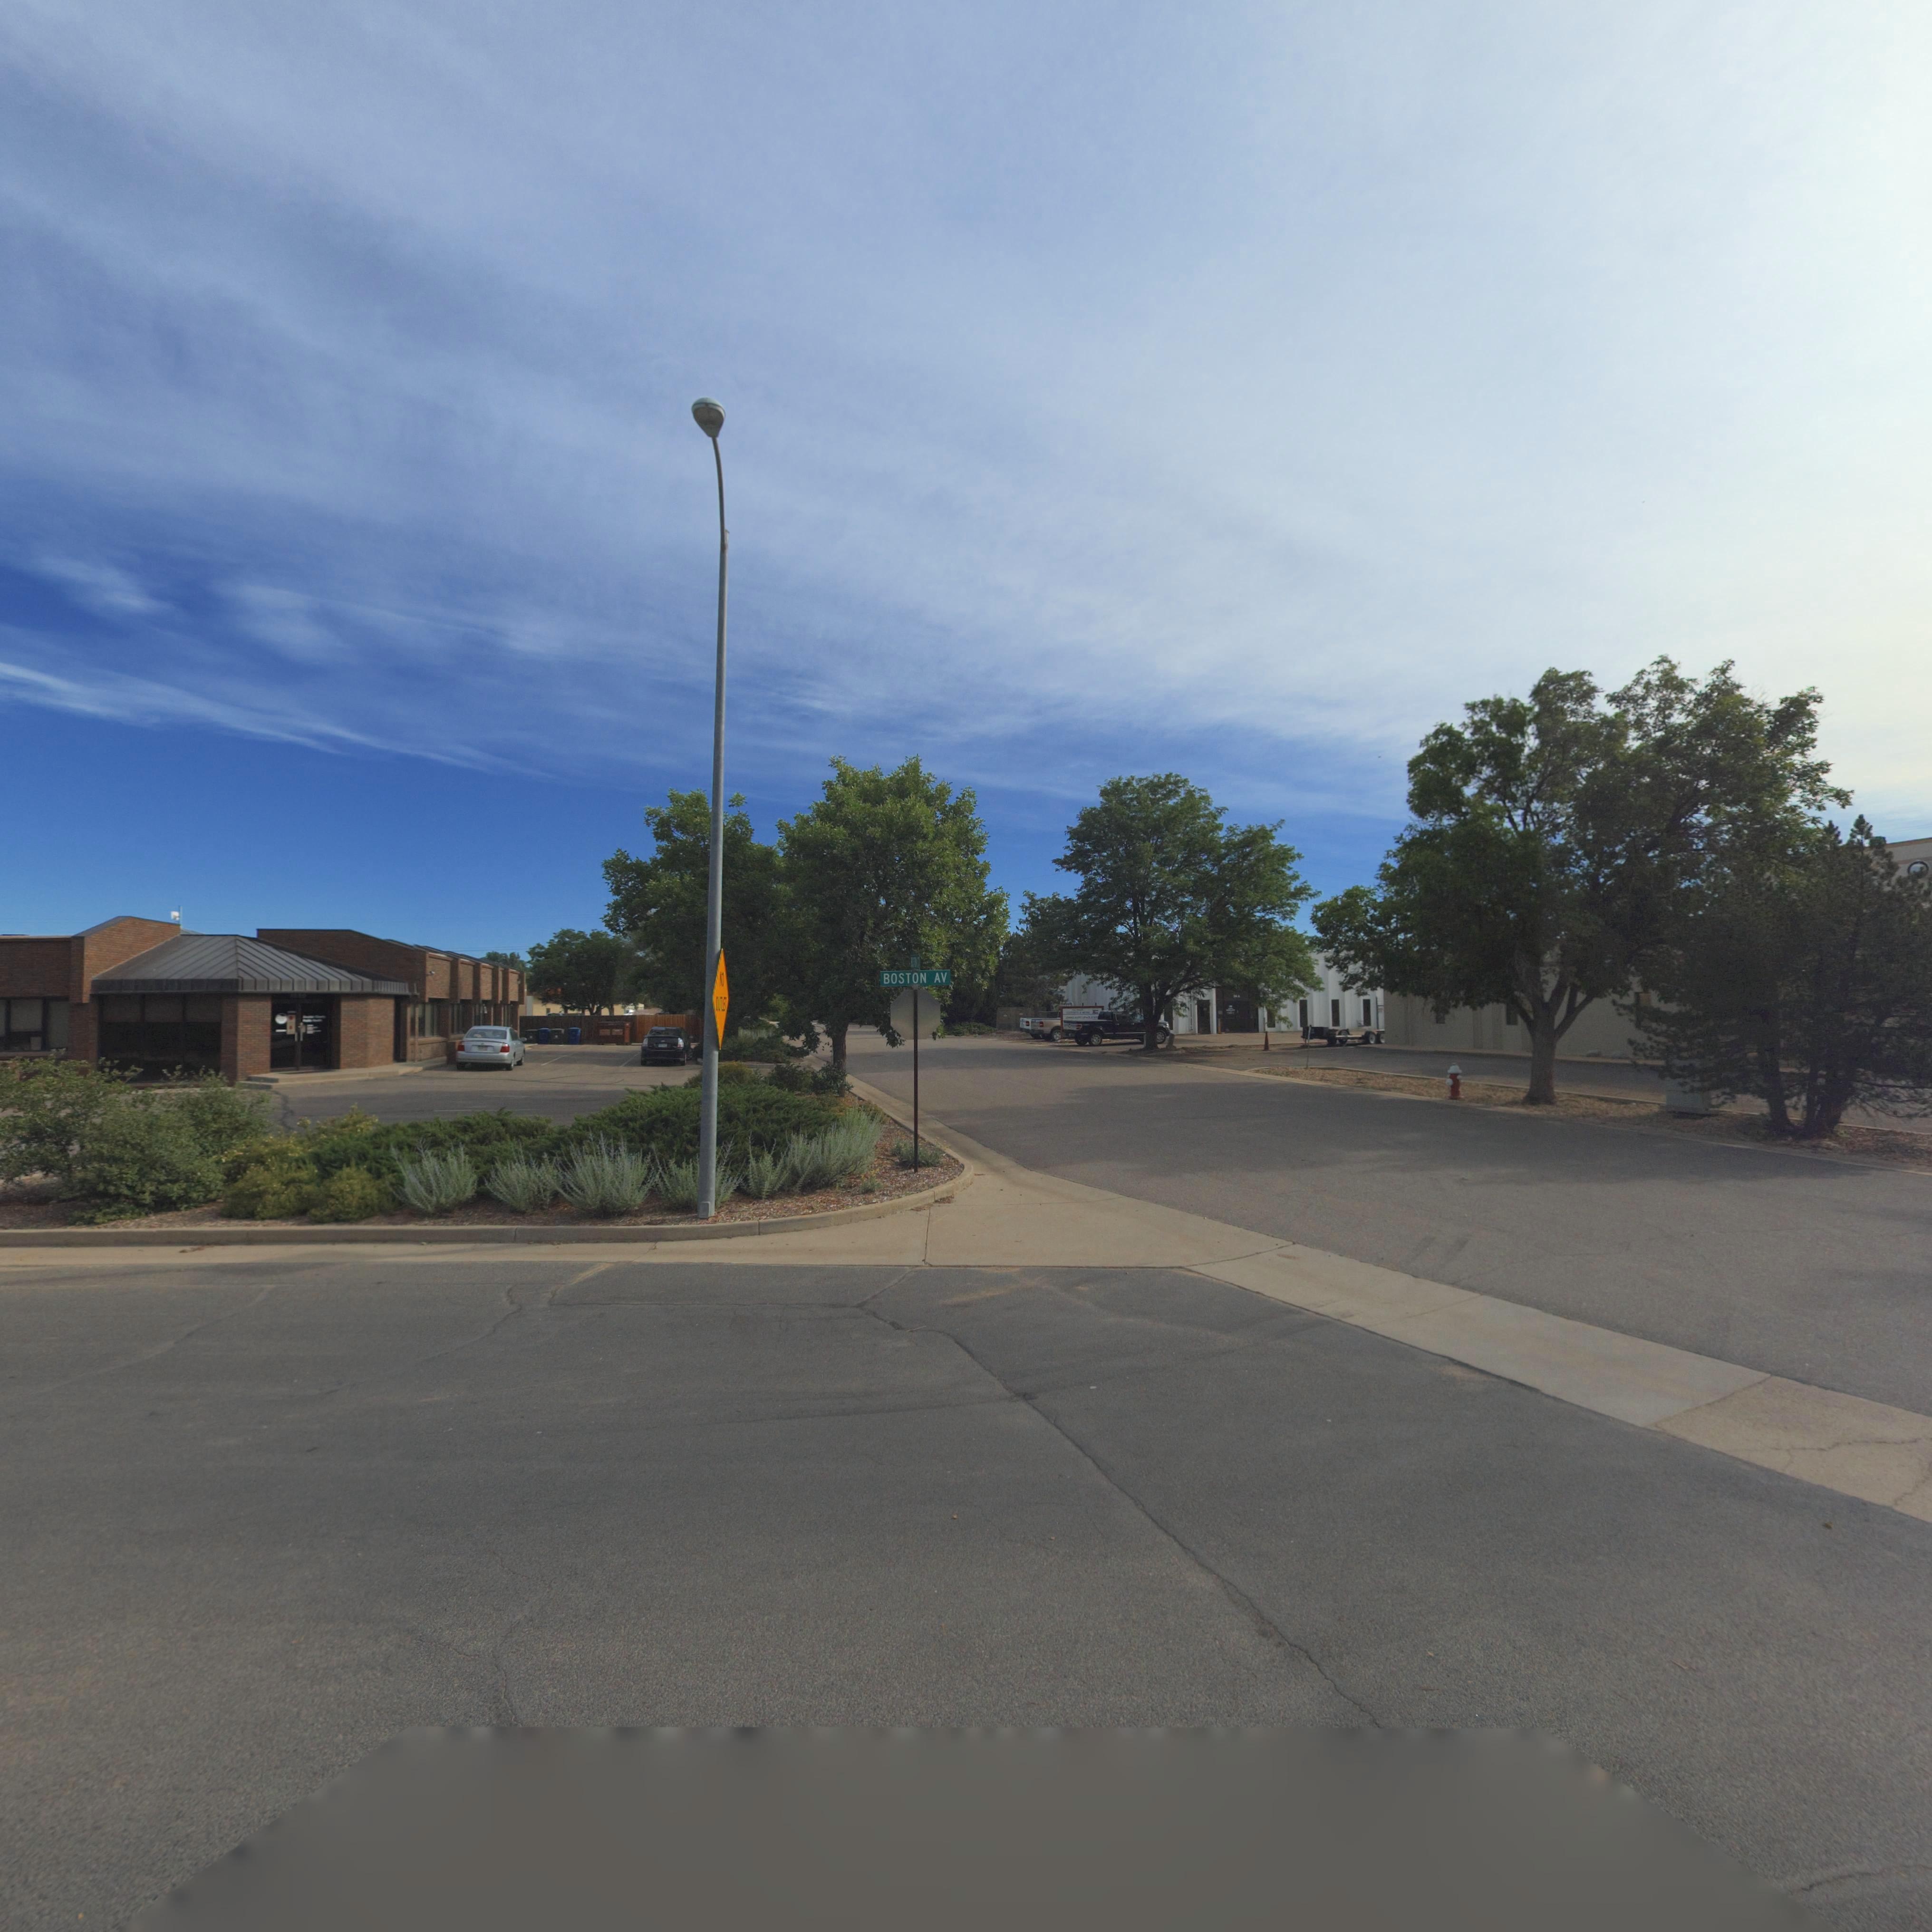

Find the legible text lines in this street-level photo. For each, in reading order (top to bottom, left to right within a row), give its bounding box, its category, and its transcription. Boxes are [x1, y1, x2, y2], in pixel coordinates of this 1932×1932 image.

[883, 972, 947, 985] StreetName: BOSTON AV